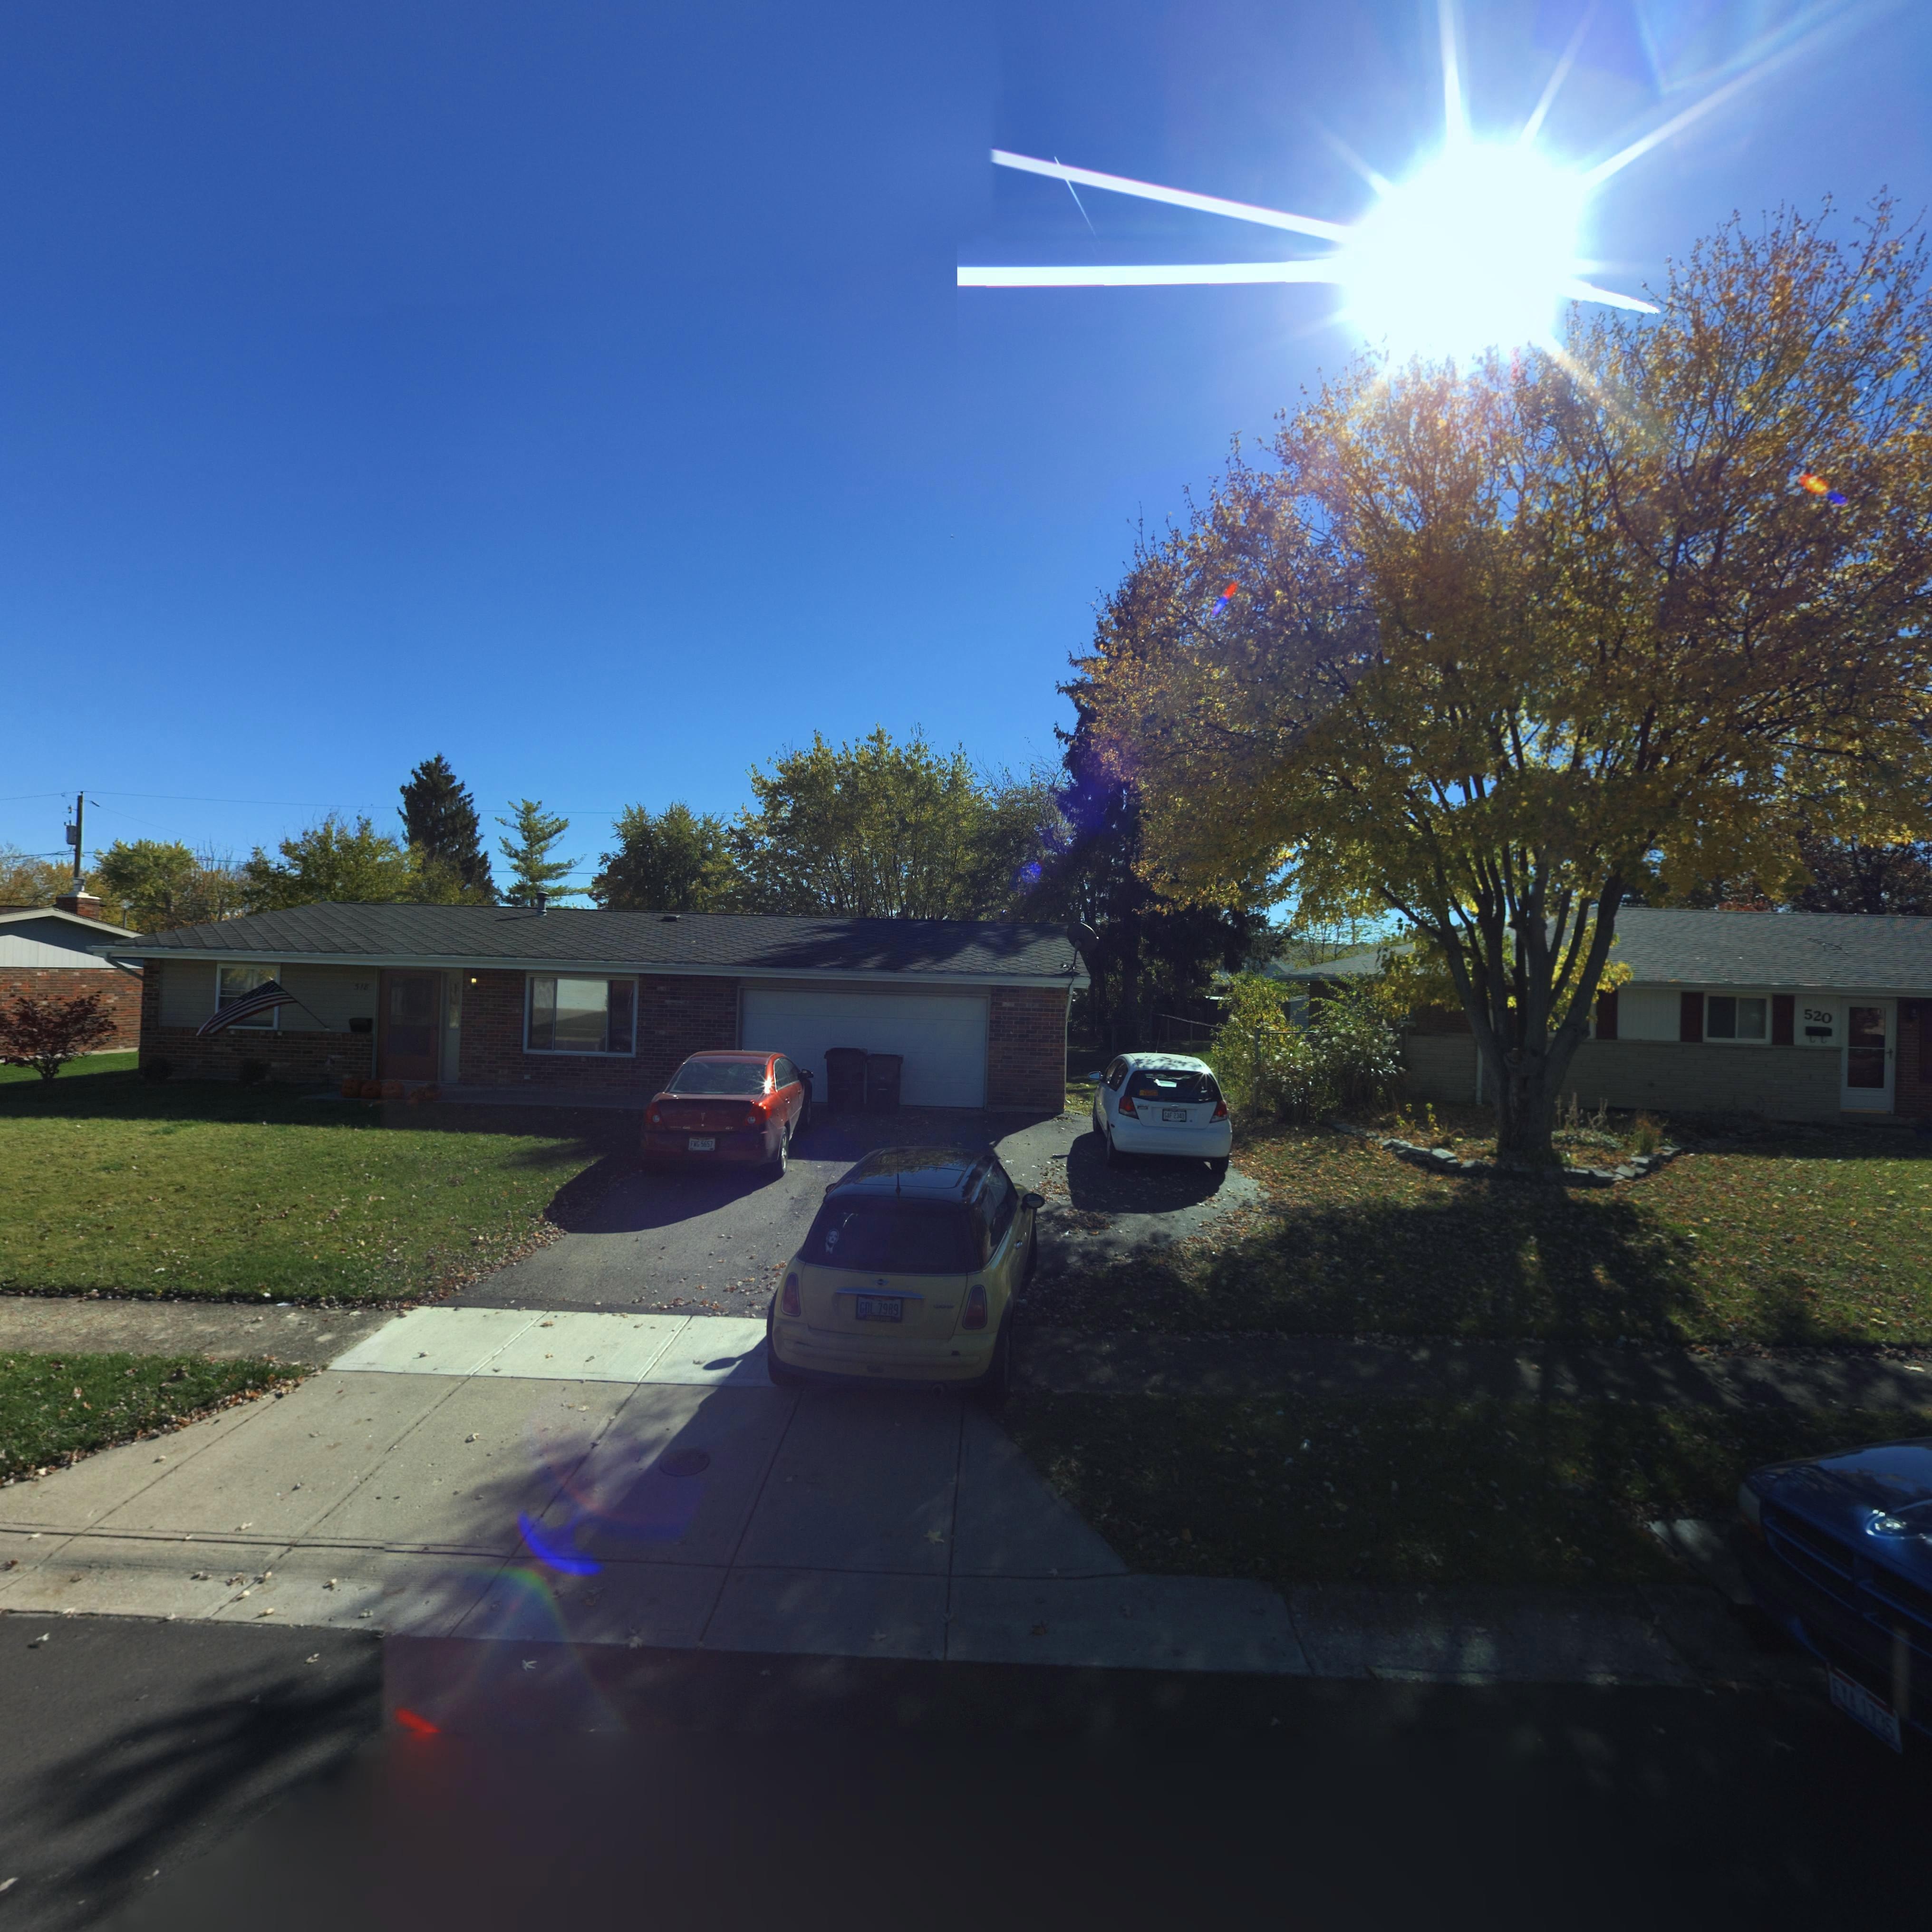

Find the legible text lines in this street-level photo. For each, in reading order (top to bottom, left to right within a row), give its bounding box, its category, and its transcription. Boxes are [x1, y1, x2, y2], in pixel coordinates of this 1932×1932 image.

[353, 983, 371, 991] StreetNumber: 518
[1803, 1008, 1833, 1024] StreetNumber: 520